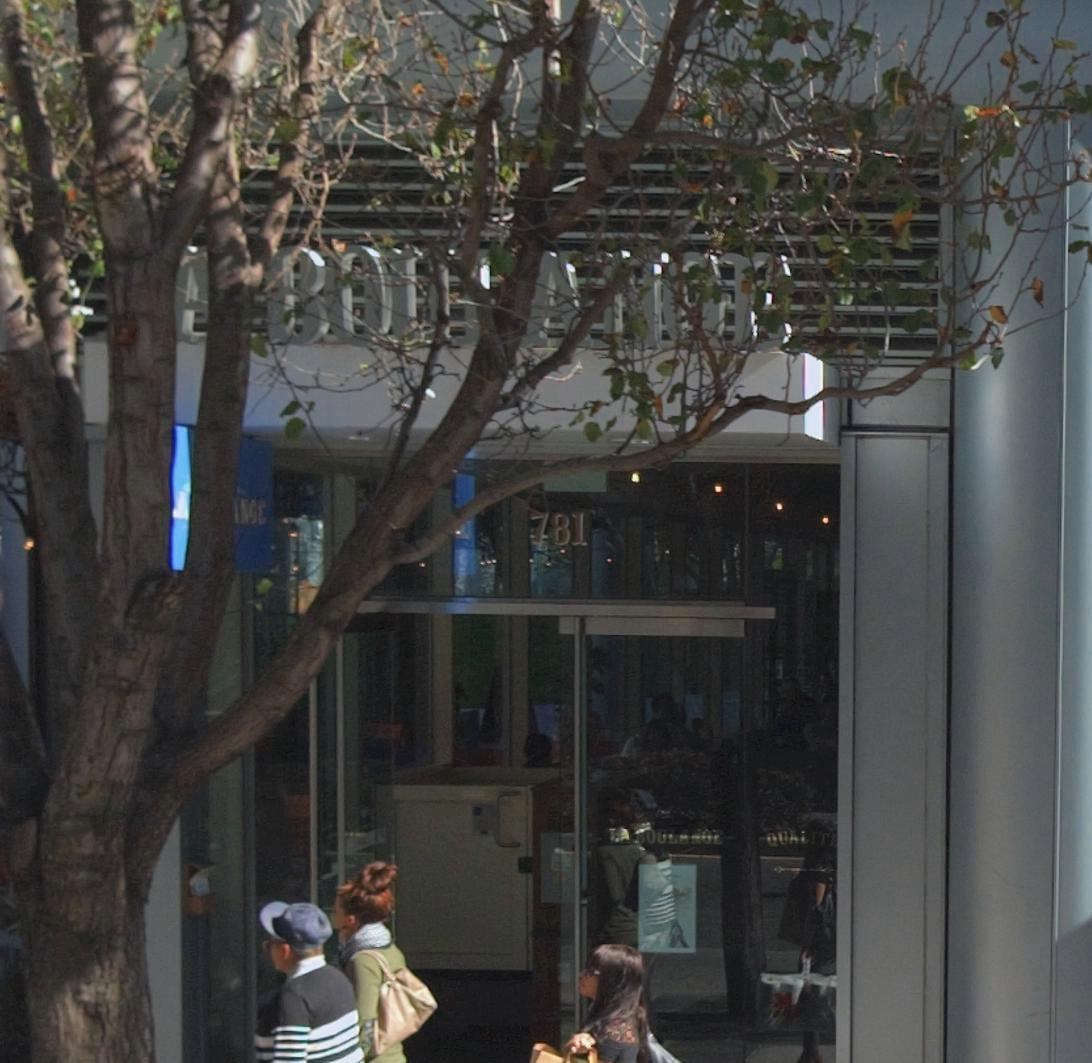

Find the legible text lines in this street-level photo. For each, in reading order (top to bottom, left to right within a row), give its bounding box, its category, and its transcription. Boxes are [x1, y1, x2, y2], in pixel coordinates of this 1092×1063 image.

[527, 511, 588, 548] StreetNumber: 781